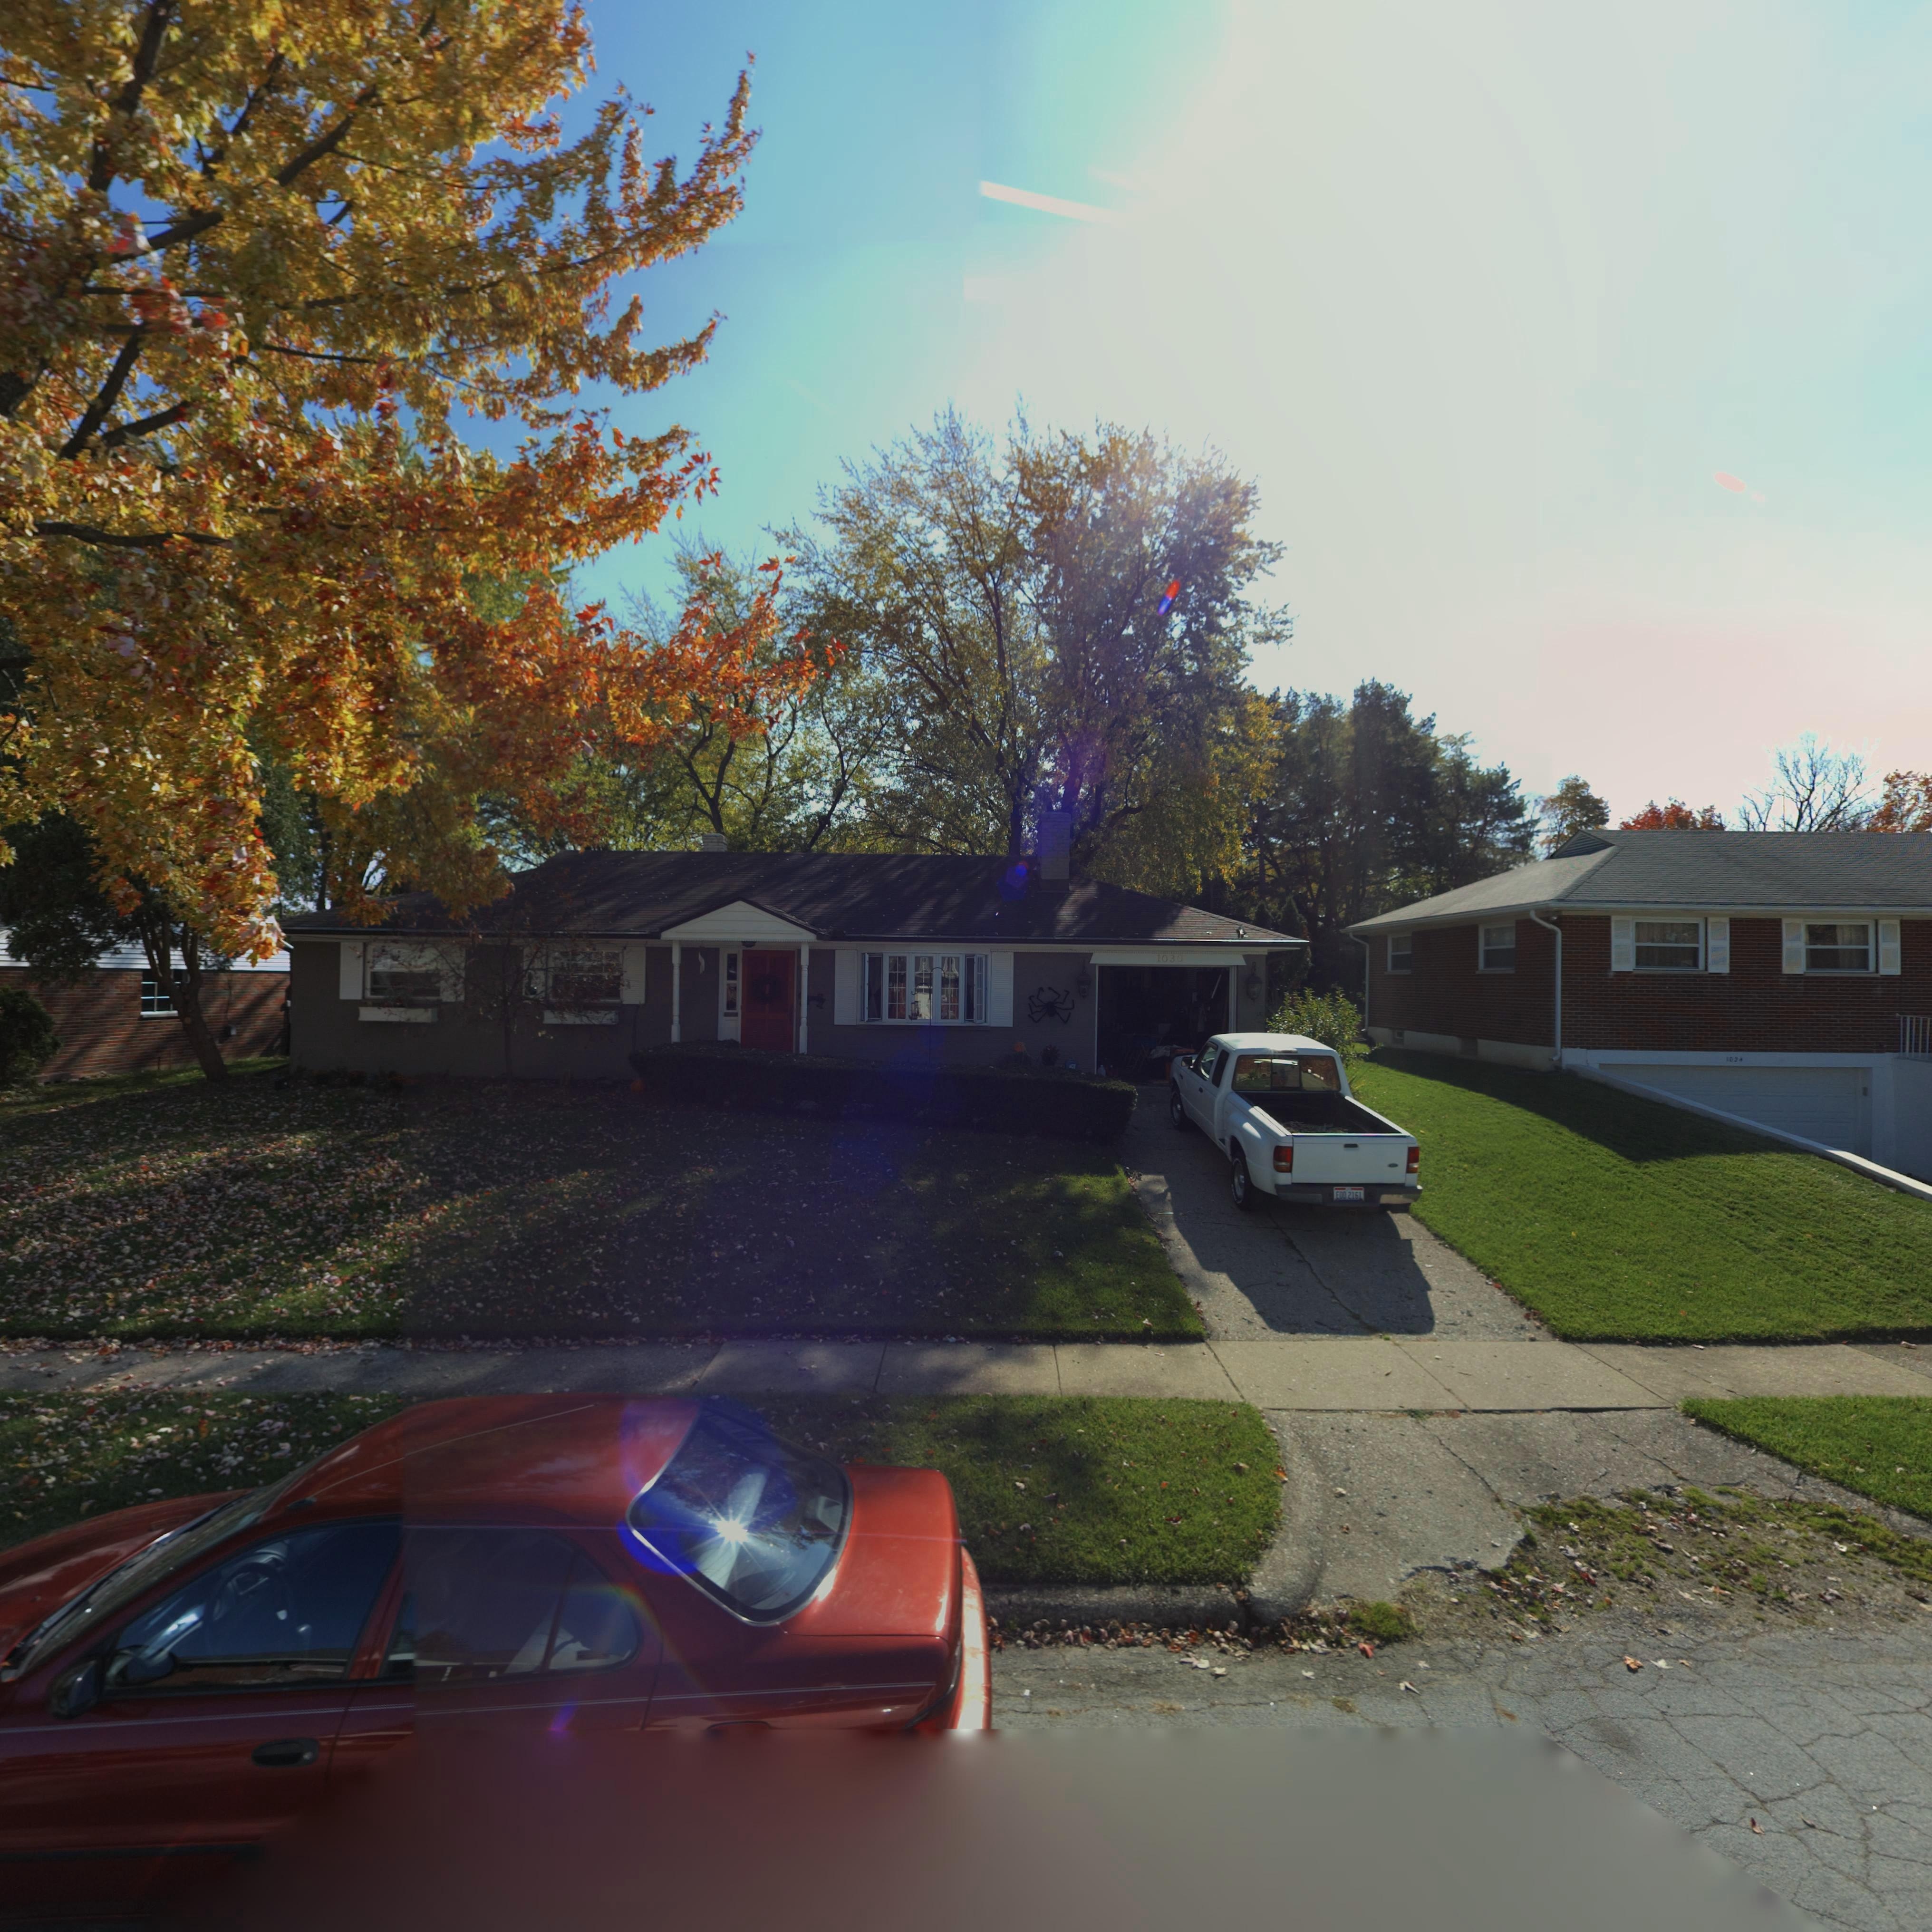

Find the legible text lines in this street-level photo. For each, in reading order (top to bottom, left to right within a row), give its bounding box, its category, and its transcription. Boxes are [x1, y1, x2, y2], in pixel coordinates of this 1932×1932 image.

[1156, 953, 1184, 963] StreetNumber: 1030
[1725, 1056, 1743, 1063] StreetNumber: 1034